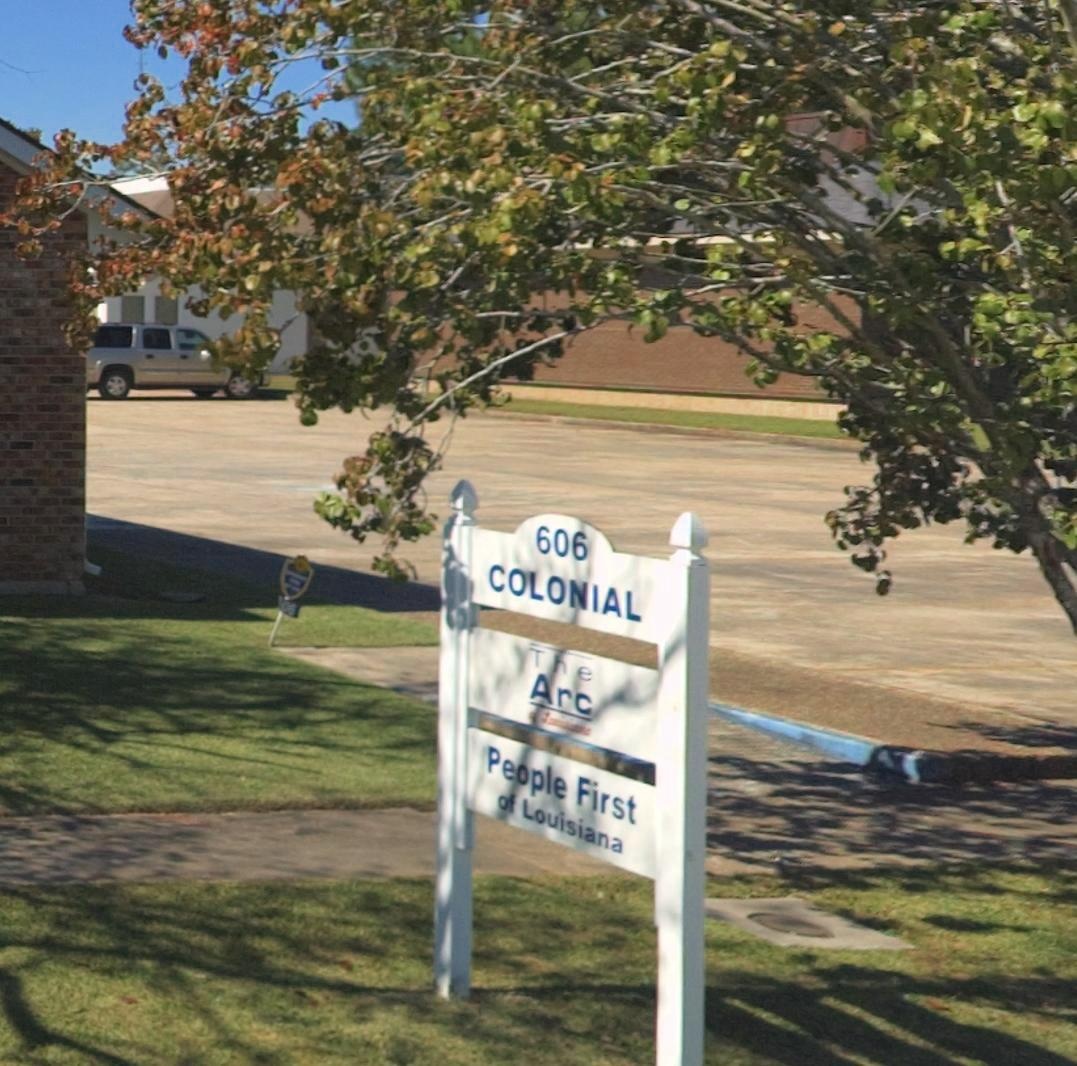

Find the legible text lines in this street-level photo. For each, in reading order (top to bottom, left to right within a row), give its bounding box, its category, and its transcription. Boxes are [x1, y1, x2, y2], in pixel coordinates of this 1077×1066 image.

[534, 521, 592, 565] StreetNumber: 606
[485, 559, 649, 628] StreetName: COLONIAL
[524, 668, 596, 721] BusinessName: Arc
[526, 642, 601, 689] BusinessName: The
[483, 739, 641, 831] BusinessName: People First
[492, 788, 630, 858] BusinessName: of Louisiana